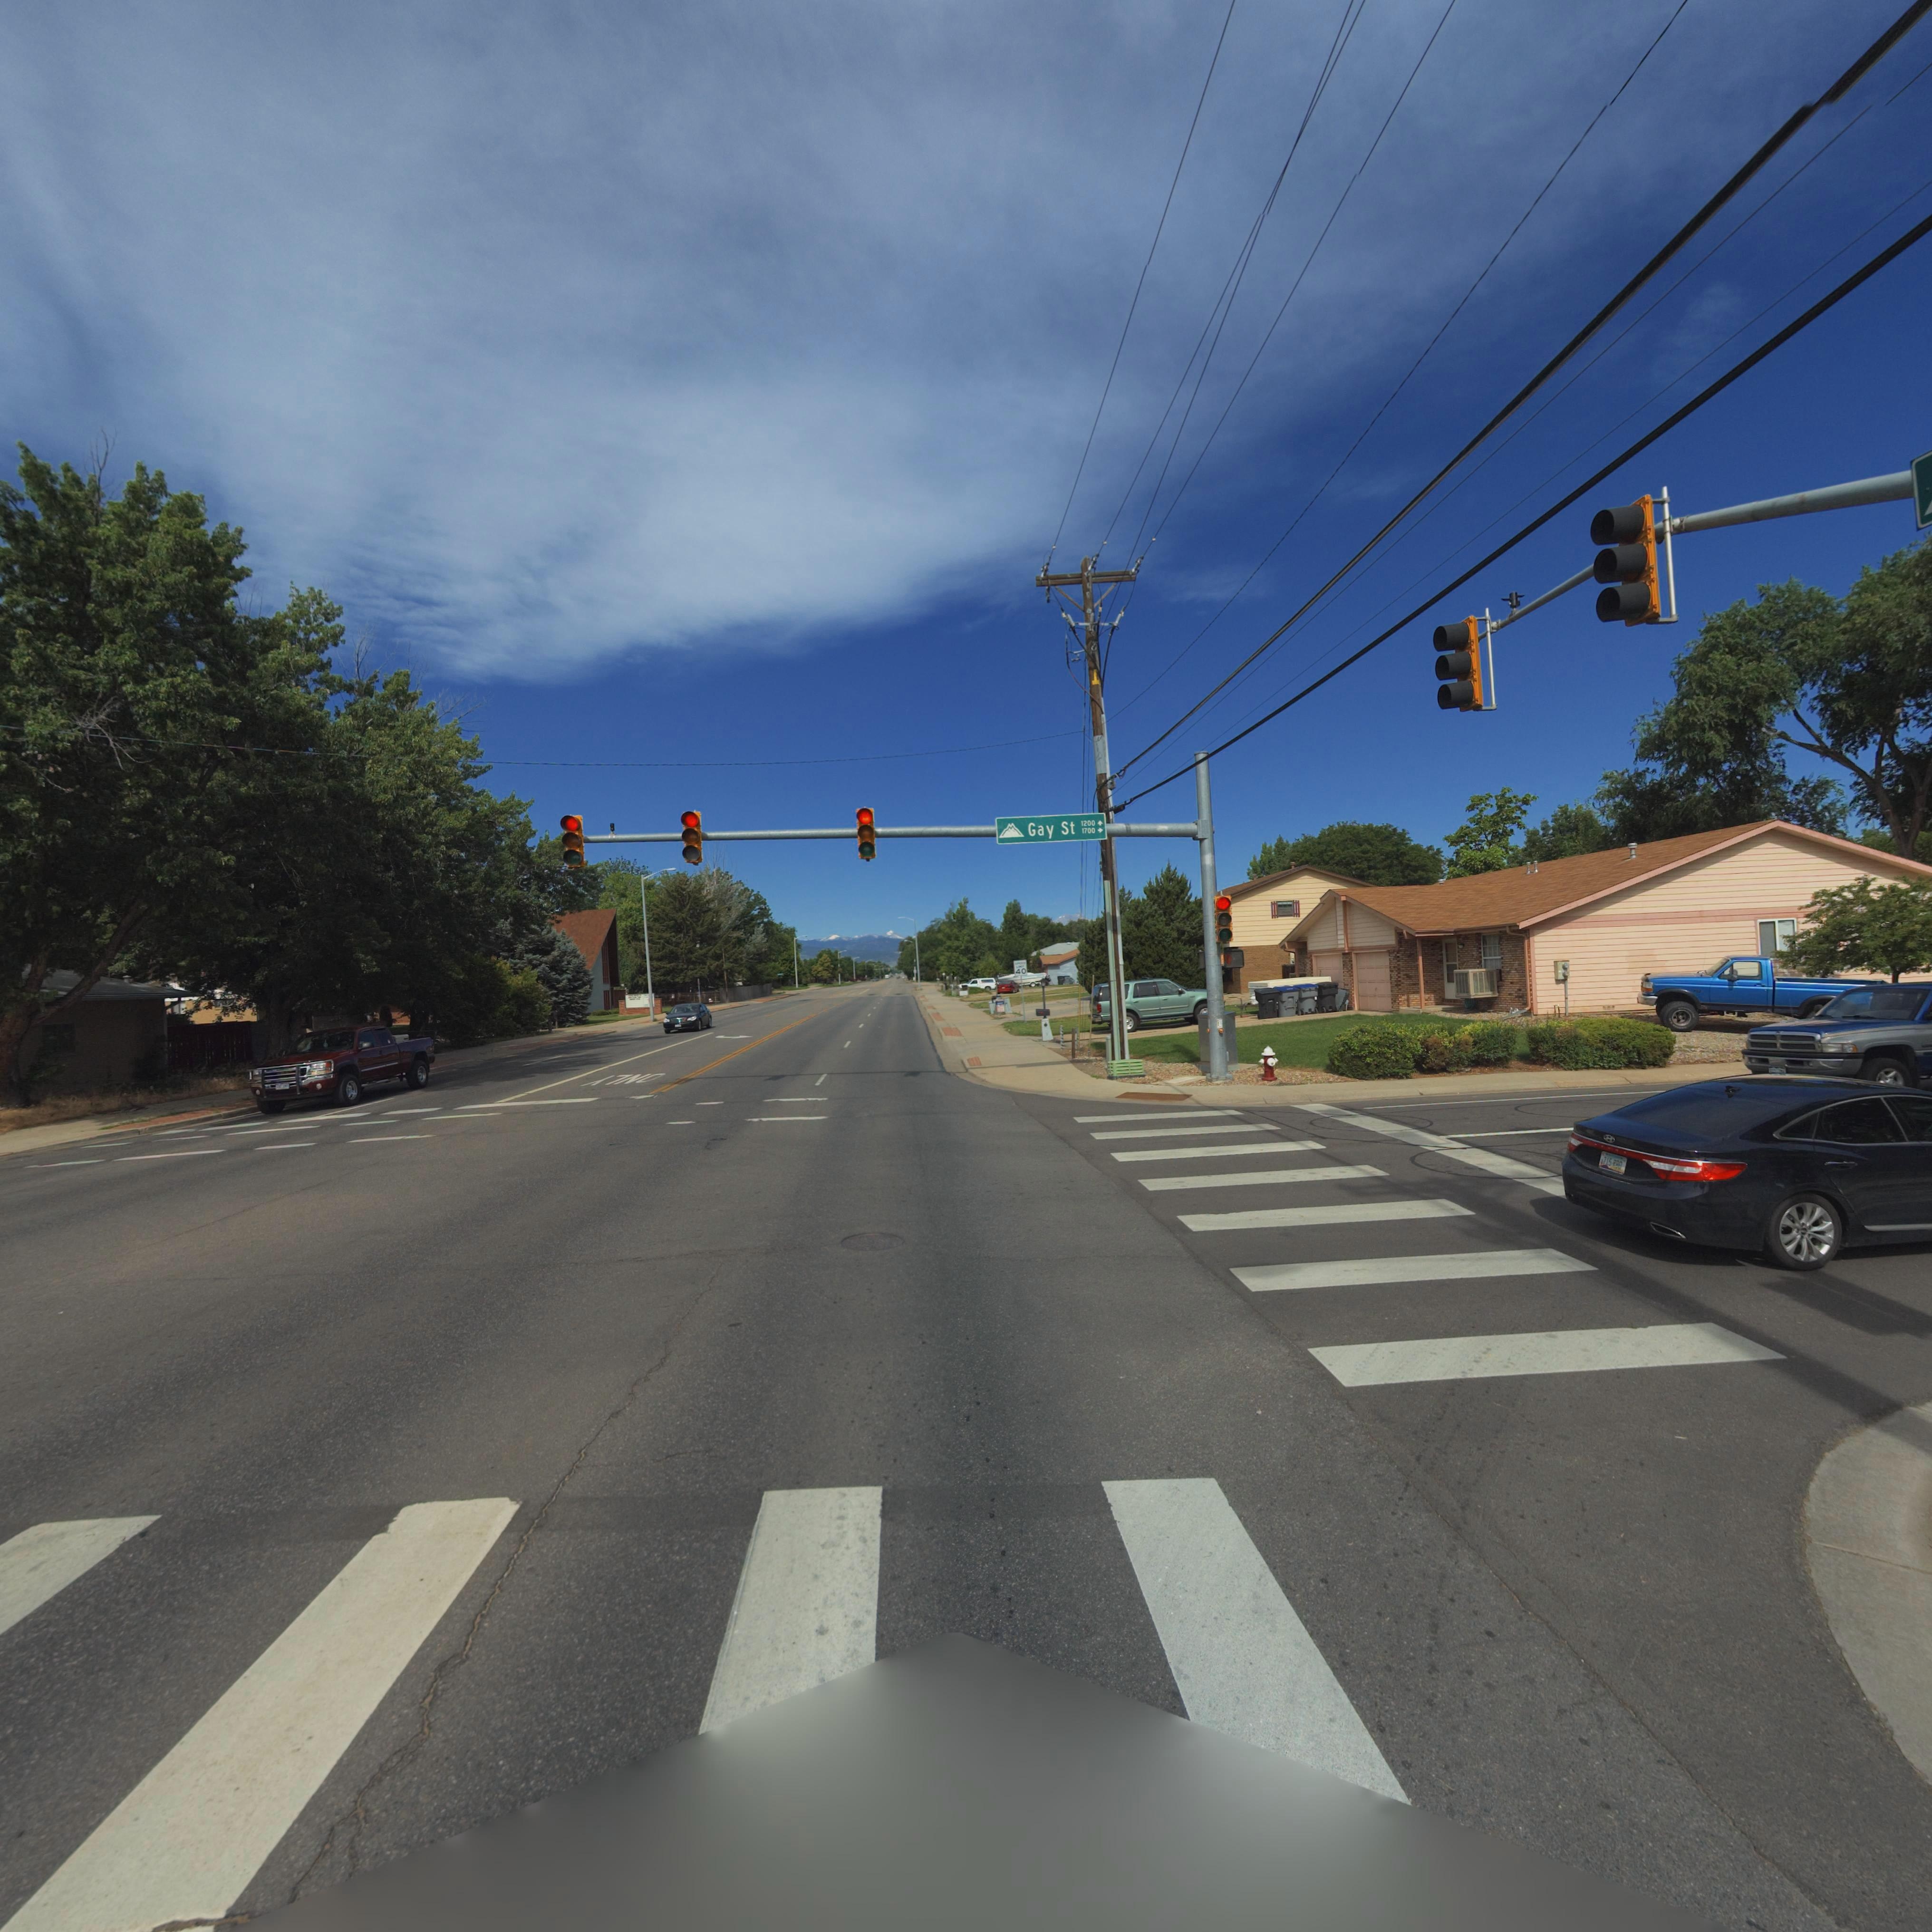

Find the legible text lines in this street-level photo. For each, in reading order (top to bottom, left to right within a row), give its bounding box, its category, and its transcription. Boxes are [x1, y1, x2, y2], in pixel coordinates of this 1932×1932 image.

[1081, 820, 1095, 826] StreetNumberRange: 1200
[1028, 820, 1075, 840] StreetName: Gay St
[1082, 827, 1104, 834] StreetNumberRange: 1700->